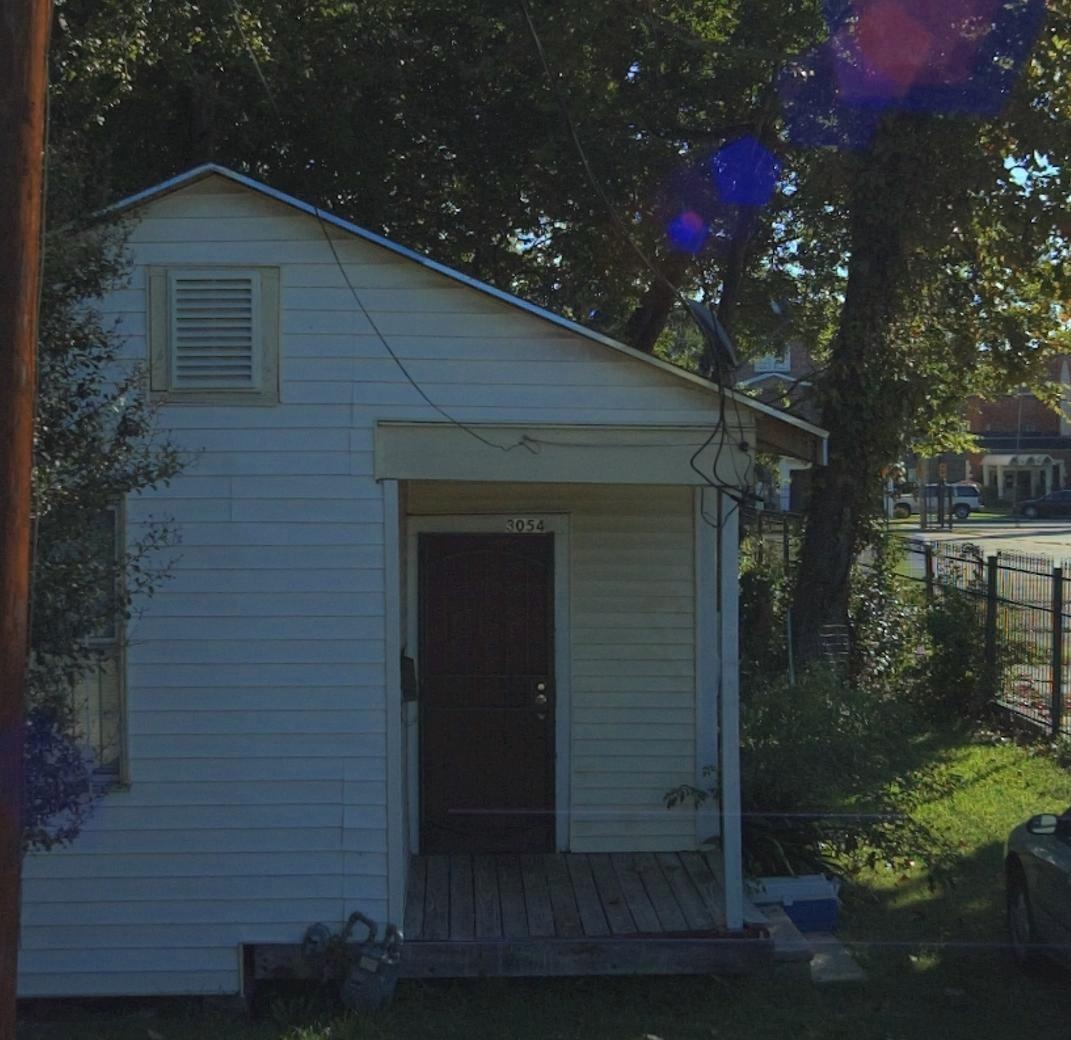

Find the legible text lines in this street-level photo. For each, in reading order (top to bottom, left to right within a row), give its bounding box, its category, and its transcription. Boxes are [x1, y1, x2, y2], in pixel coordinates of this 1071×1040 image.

[504, 517, 547, 534] StreetNumber: 3054